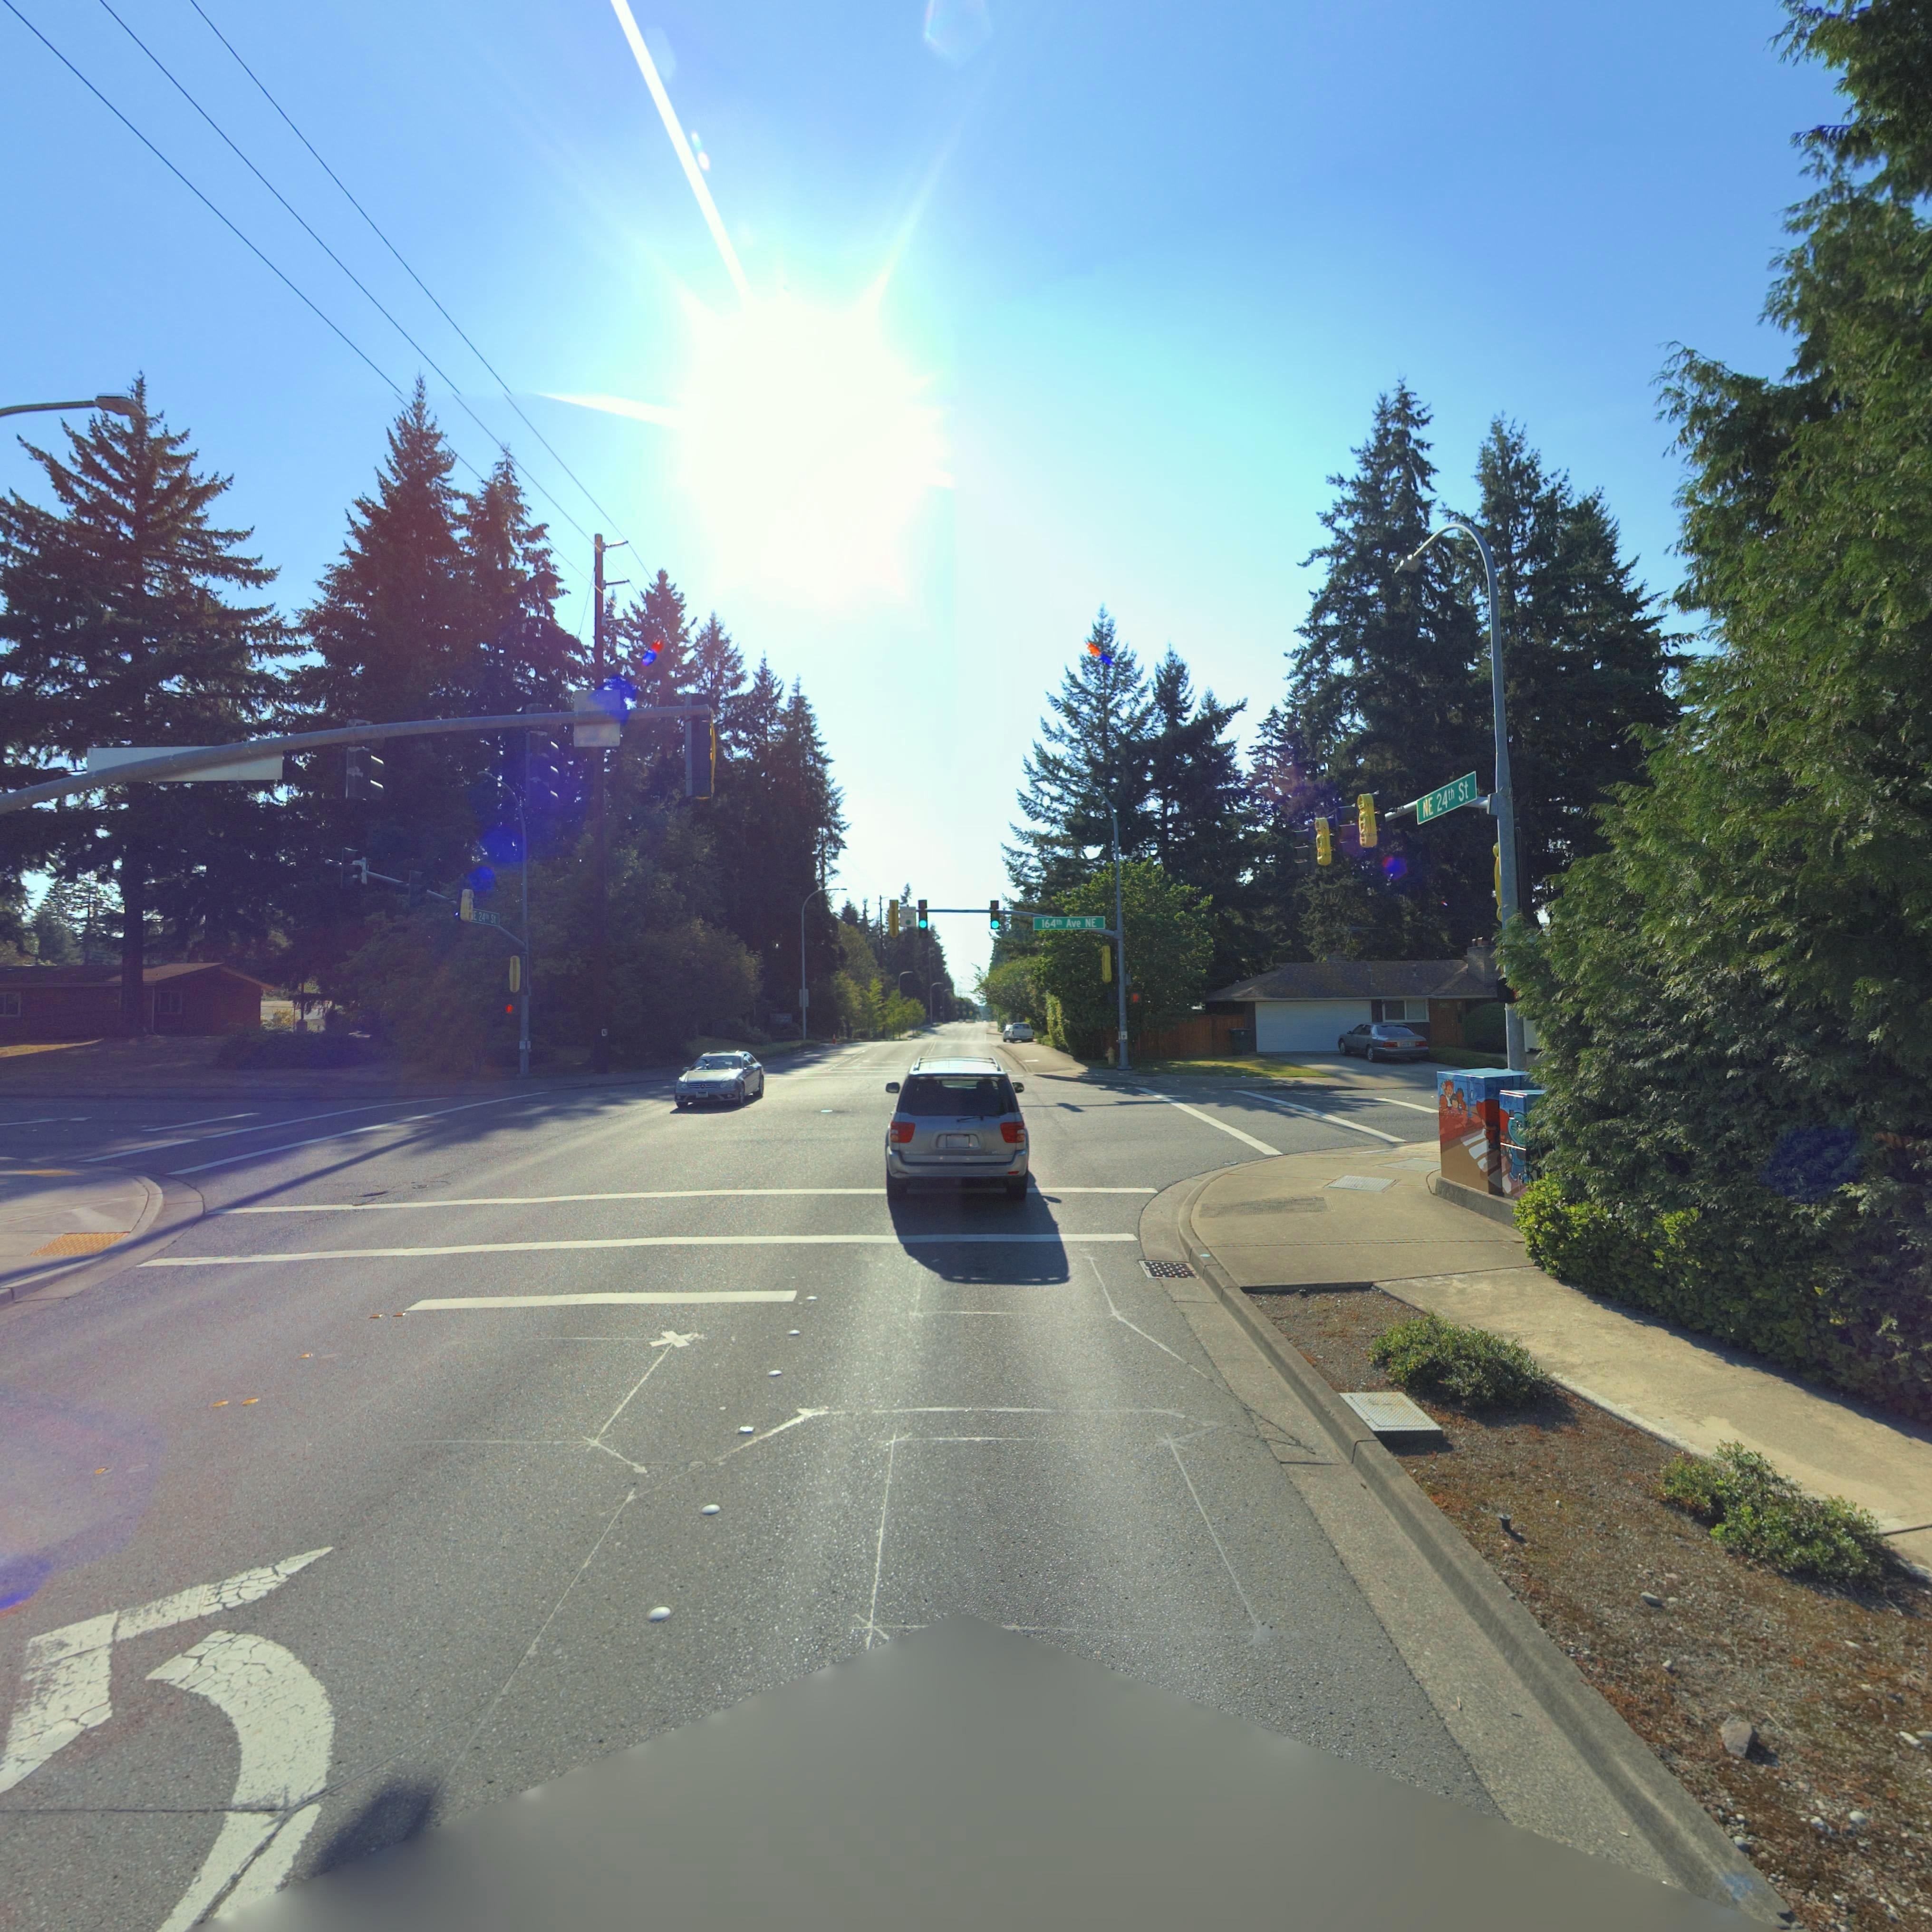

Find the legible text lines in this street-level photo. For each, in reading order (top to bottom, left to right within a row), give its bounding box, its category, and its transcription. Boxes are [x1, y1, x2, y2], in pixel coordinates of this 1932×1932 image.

[1422, 780, 1469, 819] StreetName: NE 24th St
[470, 910, 496, 924] StreetName: *E 24th St
[1043, 918, 1096, 927] StreetName: 164 Ave NE